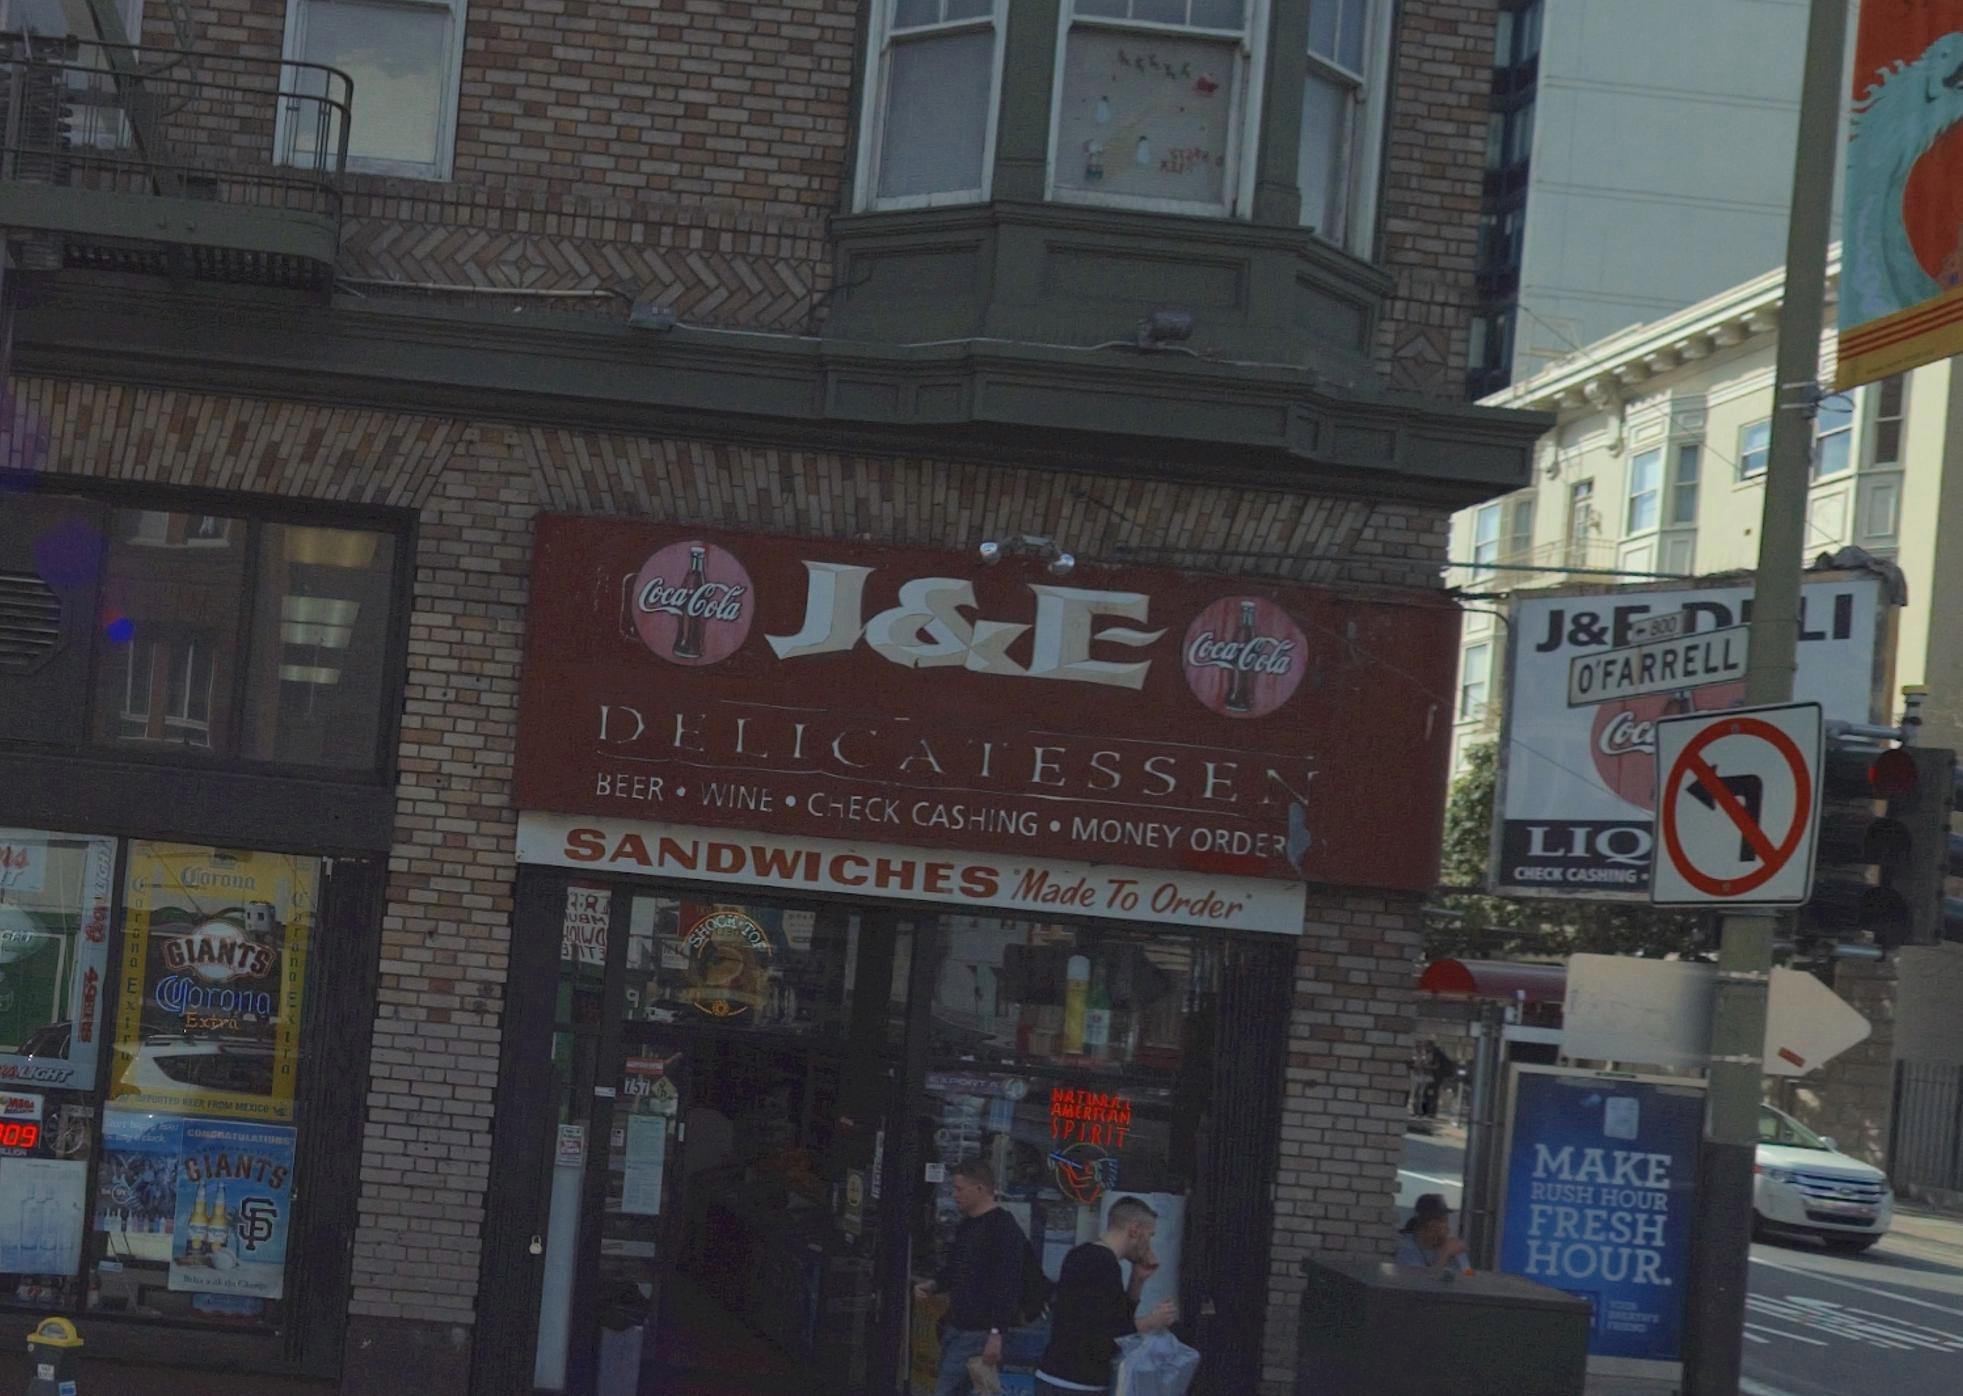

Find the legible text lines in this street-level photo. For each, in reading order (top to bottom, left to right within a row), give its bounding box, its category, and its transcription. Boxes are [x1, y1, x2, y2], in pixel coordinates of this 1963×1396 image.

[634, 572, 749, 625] None: Coca Cola
[759, 554, 1160, 697] BusinessName: J&E
[1532, 606, 1568, 657] BusinessName: J
[1632, 611, 1681, 642] StreetNumberRange: <-800
[1830, 591, 1856, 642] BusinessName: I
[1184, 628, 1300, 678] None: Coca Cola
[1574, 633, 1743, 699] StreetName: O'FARRELL
[1593, 705, 1654, 760] None: Coc
[592, 697, 1326, 817] BusinessName: DELICATESSEN
[591, 765, 1295, 866] None: BEER * WINE * CHECK CASHING * MONEY ORDER
[4, 866, 26, 887] None: T
[8, 841, 33, 872] None: s
[91, 839, 115, 900] None: LIGHT'
[177, 863, 259, 893] None: *orona
[560, 822, 1248, 925] None: SANDWICHES Made To Order
[1509, 862, 1640, 886] None: CHECK CASHING
[1524, 821, 1656, 868] None: LIQ
[0, 926, 39, 946] None: G*T
[82, 962, 101, 1000] None: 49
[116, 872, 152, 1067] None: *orona Extr*
[152, 973, 274, 1020] None: *orona
[162, 934, 273, 978] None: GIANTS
[277, 887, 310, 1080] None: **rona Extra
[567, 924, 608, 949] None: **W*
[566, 911, 611, 929] None: U*M
[575, 943, 608, 963] None: IT*
[684, 911, 769, 953] None: SHOCK * TO*
[183, 1009, 245, 1032] None: Extra
[1, 1120, 40, 1152] None: 09
[14, 1063, 76, 1085] None: LIGHT
[183, 1126, 266, 1145] None: co***ATURAT
[624, 1076, 651, 1096] None: 757
[1047, 1116, 1132, 1150] None: SPIRIT
[1046, 1100, 1134, 1127] None: AMER**AN
[1049, 1085, 1135, 1115] None: NAT****
[179, 1150, 291, 1192] None: GIANTS
[1529, 1140, 1675, 1192] None: MAKE
[1528, 1179, 1671, 1214] None: RUSH HOUR
[1524, 1201, 1671, 1249] None: FRESH
[1521, 1238, 1676, 1288] None: HOUR.